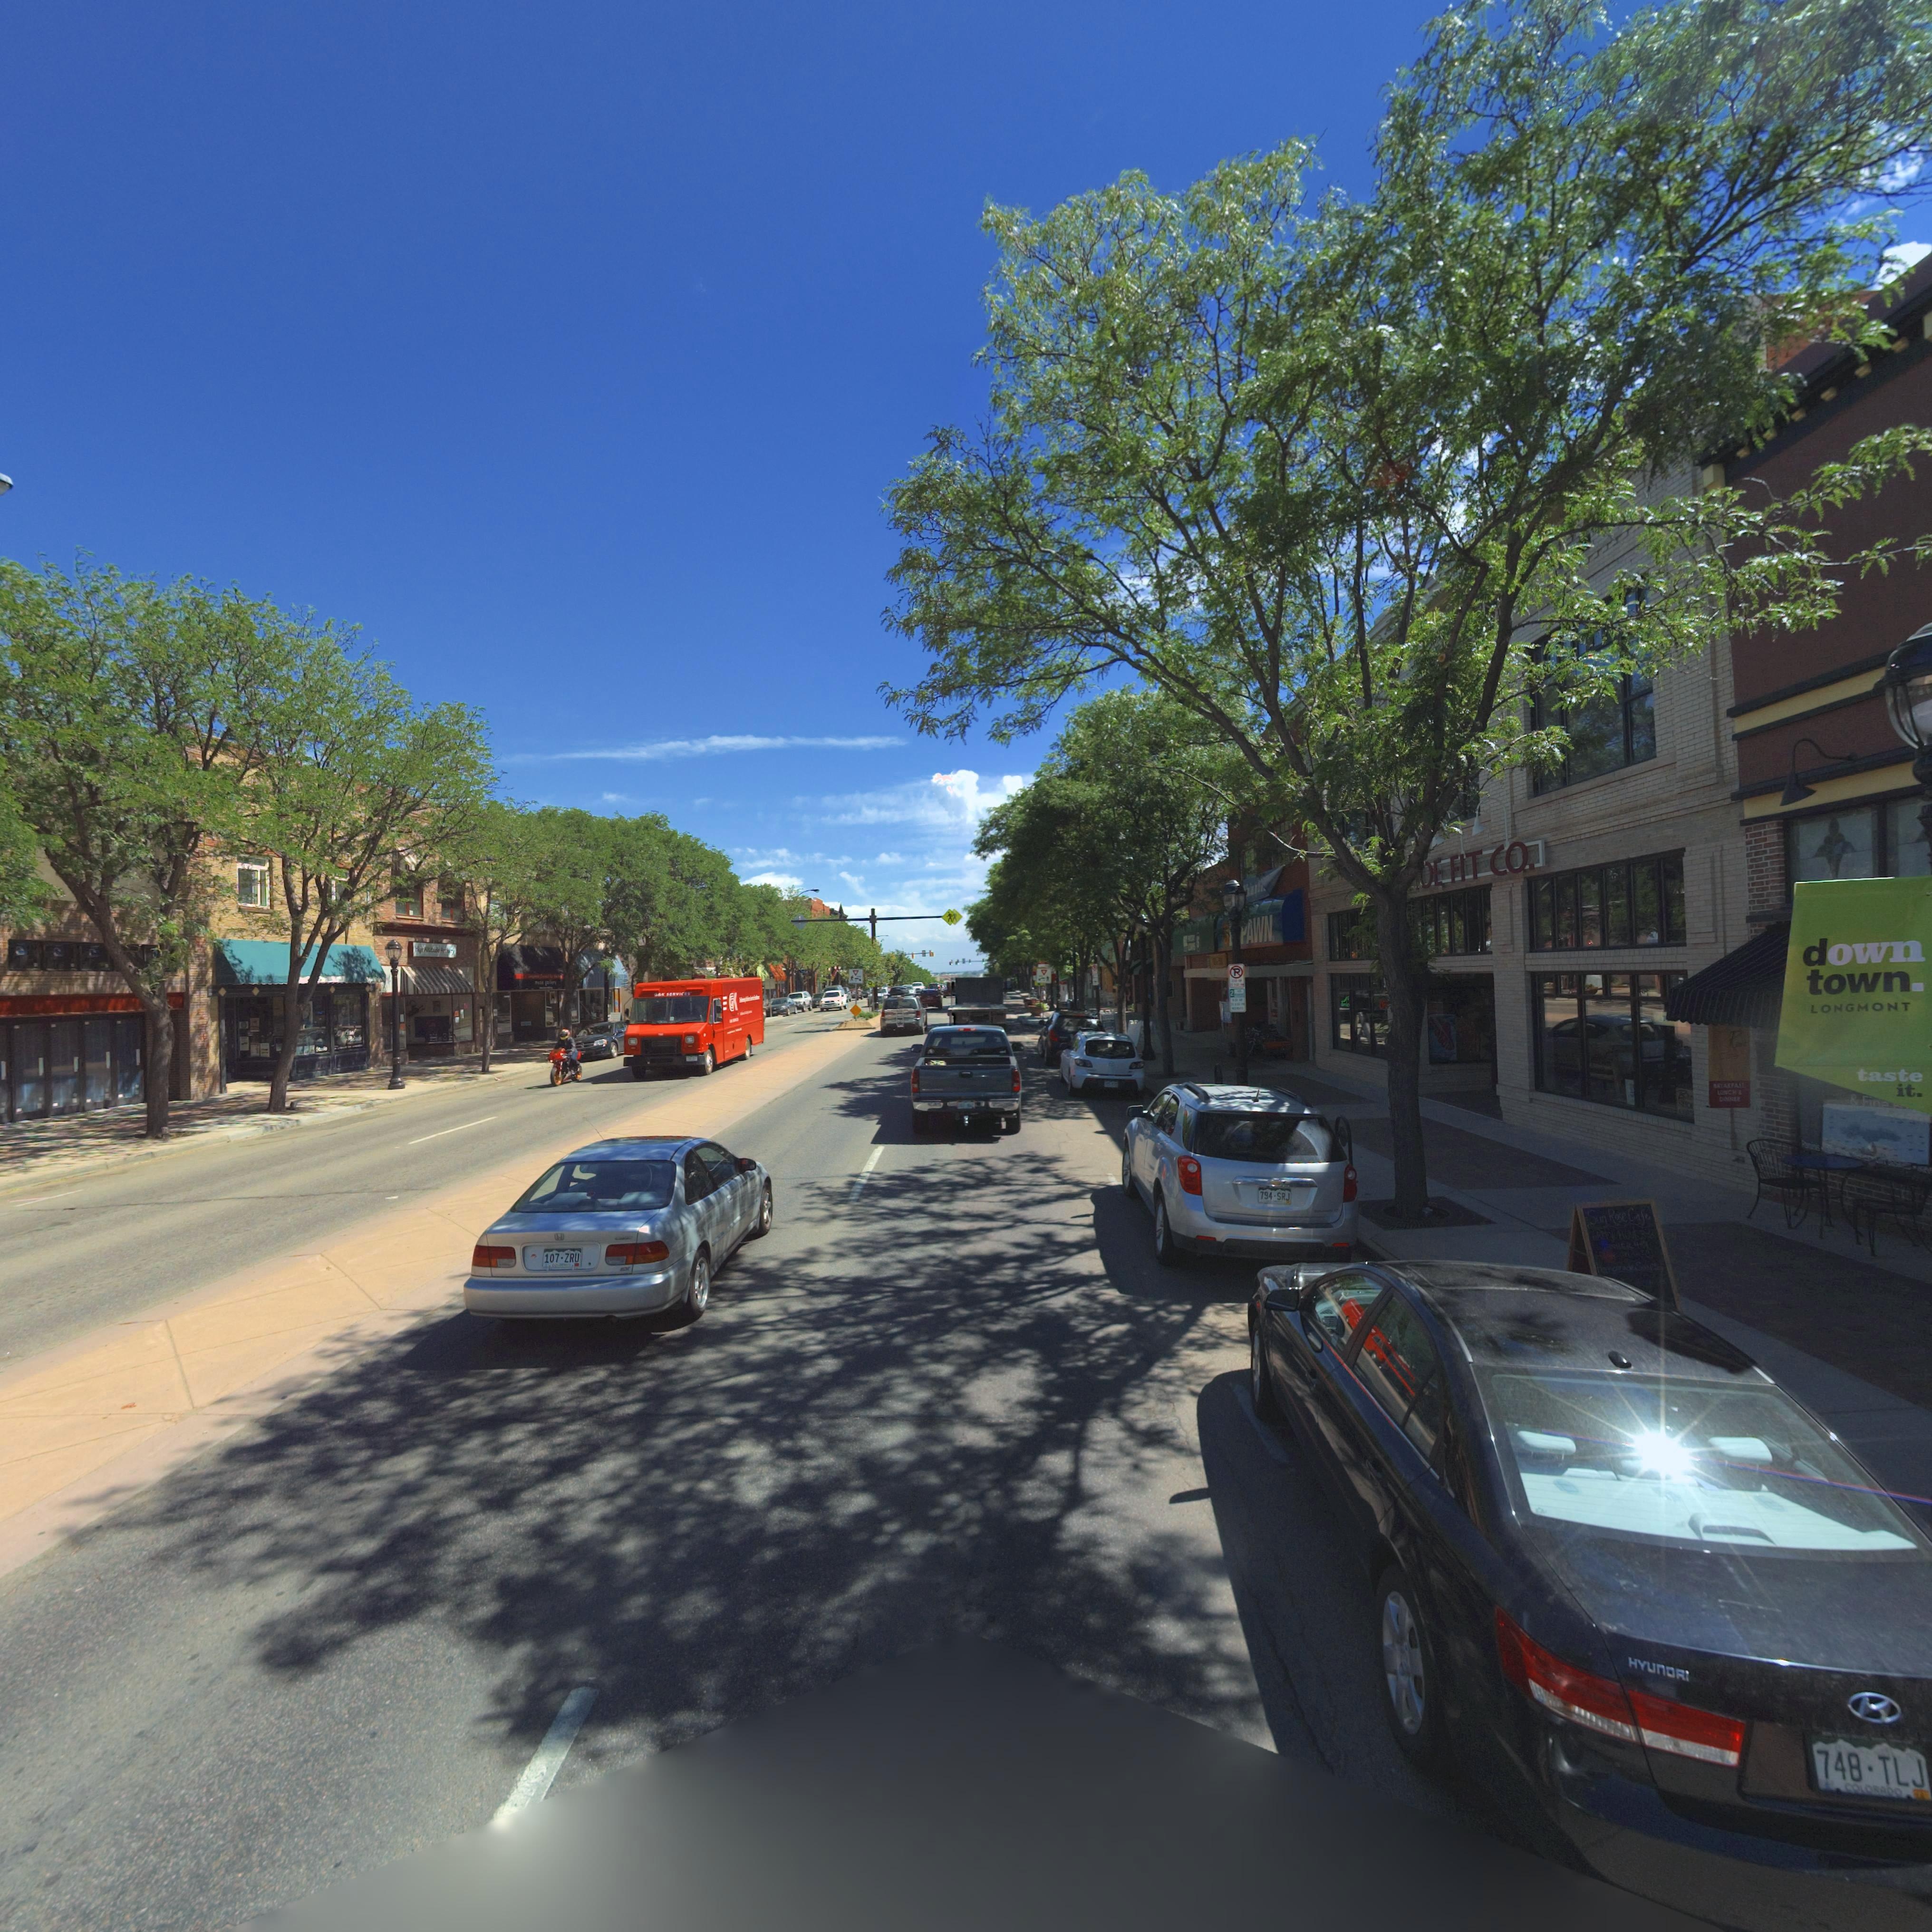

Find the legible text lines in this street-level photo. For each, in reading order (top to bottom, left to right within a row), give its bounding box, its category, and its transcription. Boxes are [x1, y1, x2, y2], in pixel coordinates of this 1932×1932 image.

[1417, 840, 1535, 890] BusinessName: OE FIT CO.
[1240, 914, 1273, 944] BusinessName: PAWN
[1587, 1207, 1651, 1227] BusinessName: Sun Rose Cafe